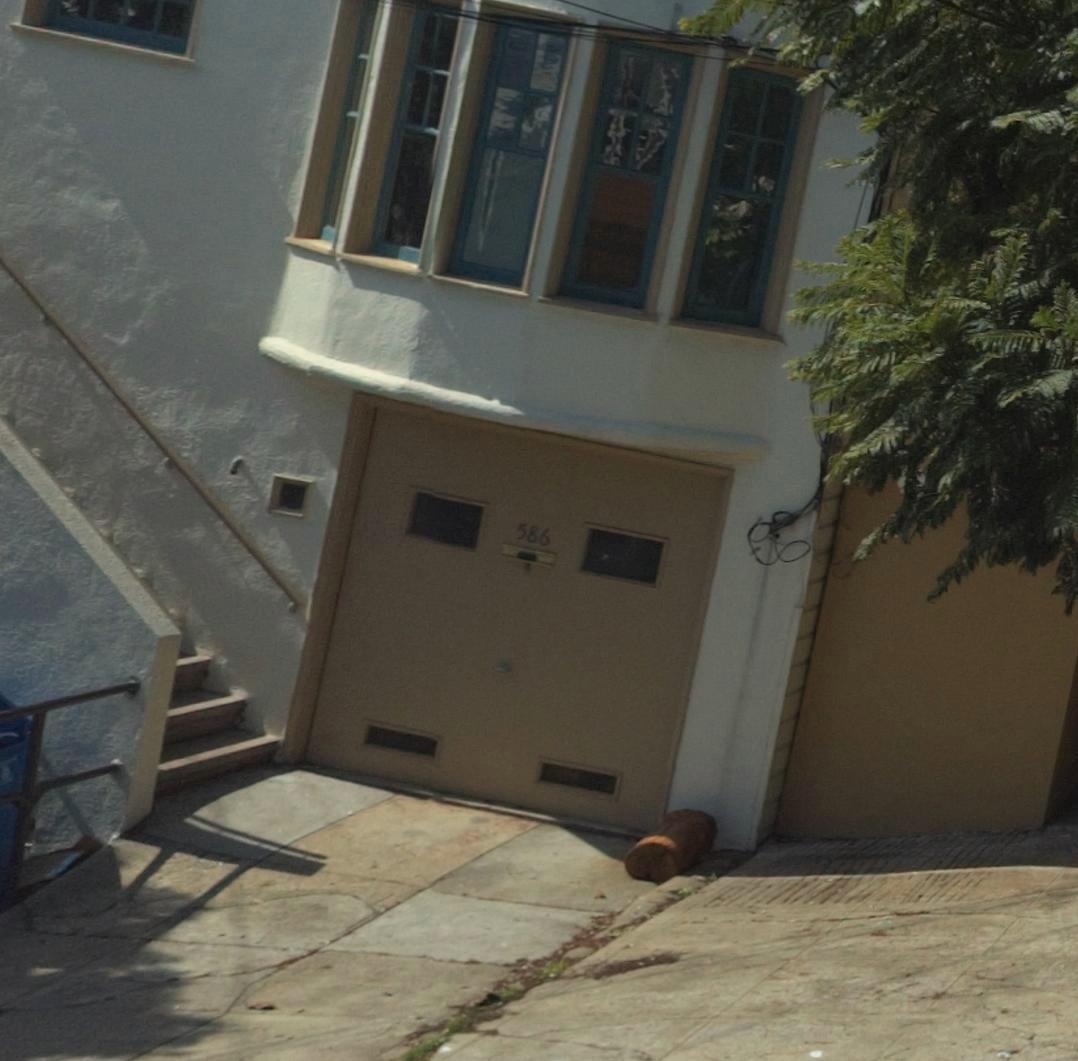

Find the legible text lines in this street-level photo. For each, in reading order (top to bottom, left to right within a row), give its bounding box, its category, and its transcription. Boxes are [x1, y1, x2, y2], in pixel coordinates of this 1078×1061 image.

[512, 520, 555, 548] StreetNumber: 586